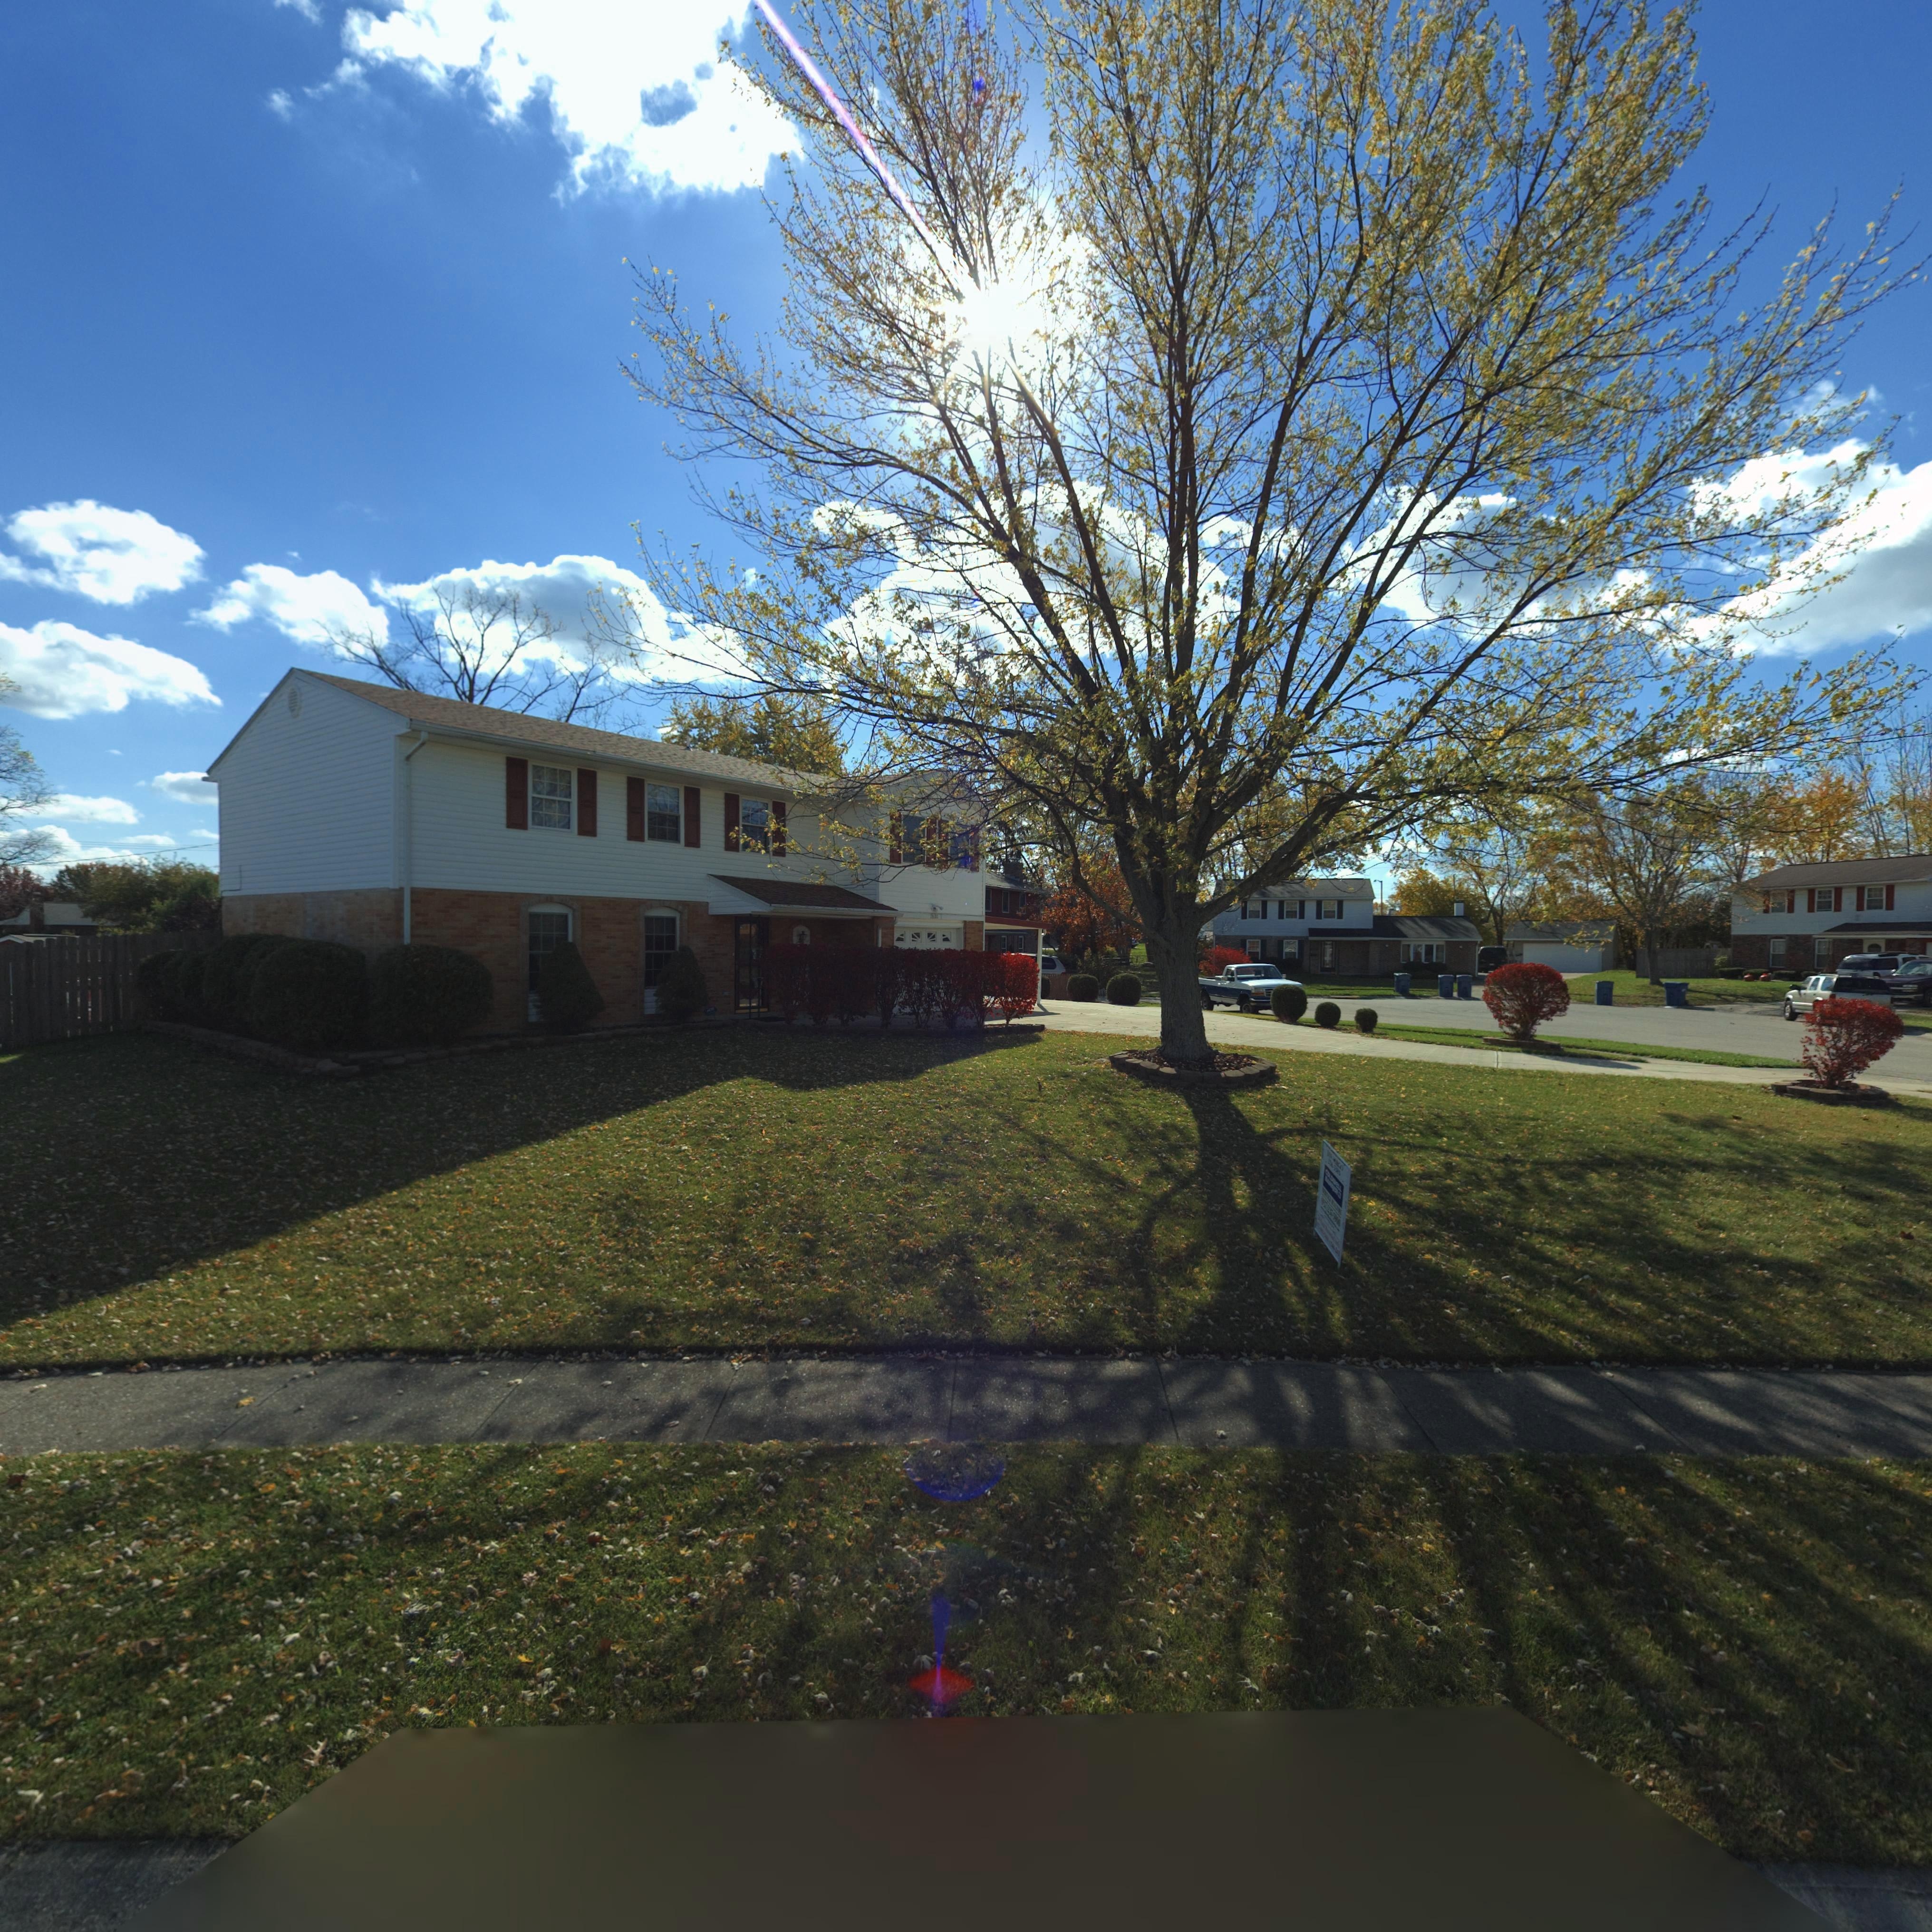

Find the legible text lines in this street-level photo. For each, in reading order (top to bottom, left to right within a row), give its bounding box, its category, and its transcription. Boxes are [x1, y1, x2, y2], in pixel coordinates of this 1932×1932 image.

[929, 913, 939, 920] StreetNumber: ***0